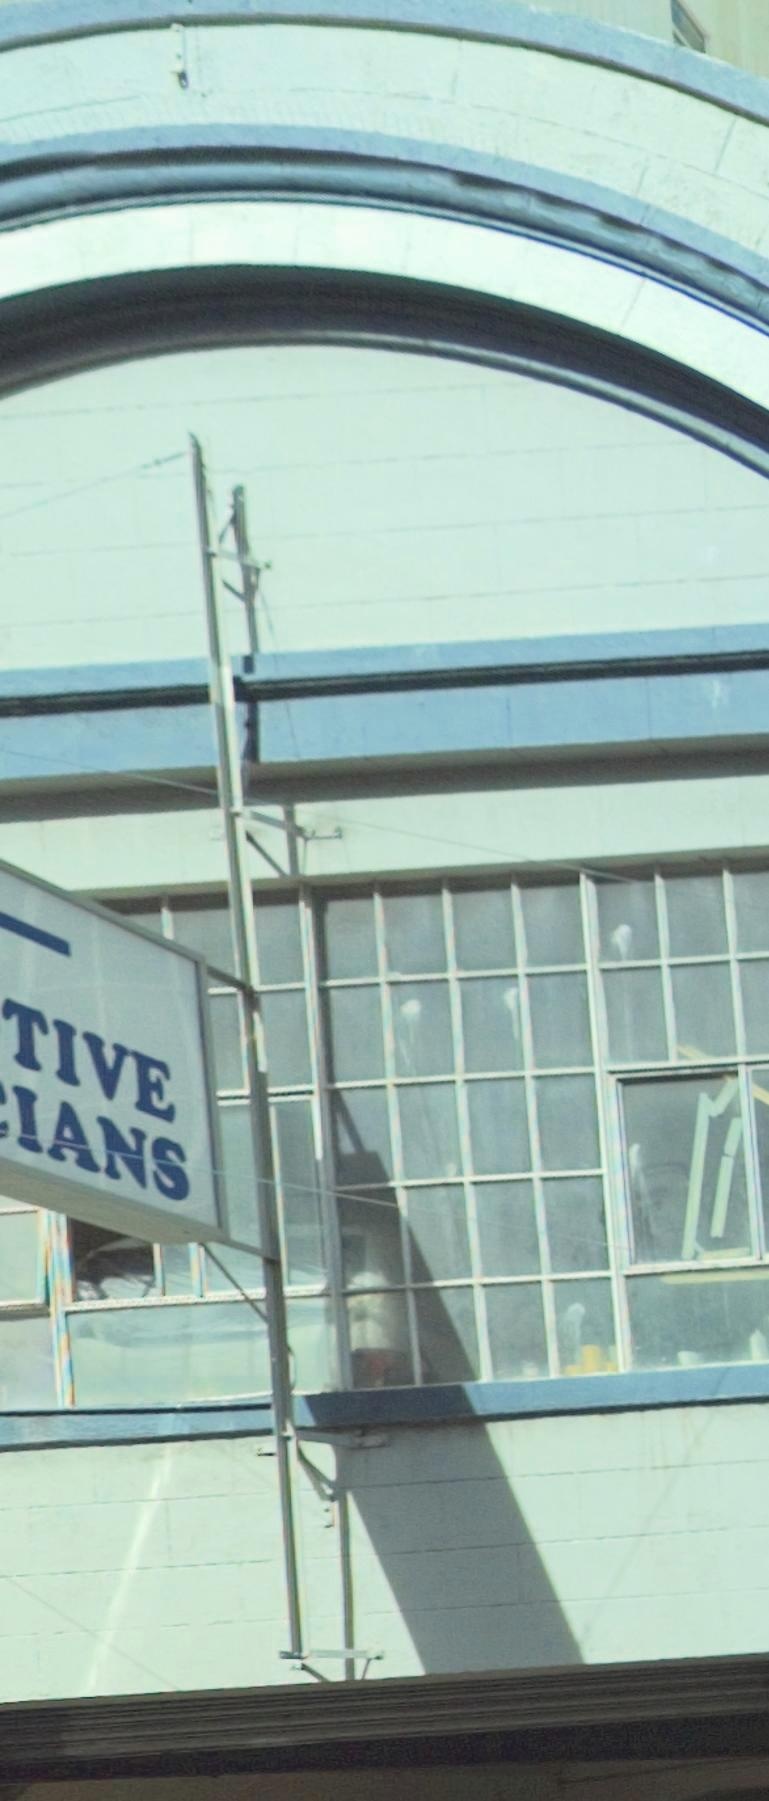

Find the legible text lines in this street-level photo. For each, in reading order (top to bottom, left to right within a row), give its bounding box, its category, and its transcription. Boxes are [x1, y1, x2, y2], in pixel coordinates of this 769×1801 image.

[0, 991, 180, 1132] BusinessName: TIVE
[8, 1079, 195, 1208] BusinessName: IANS